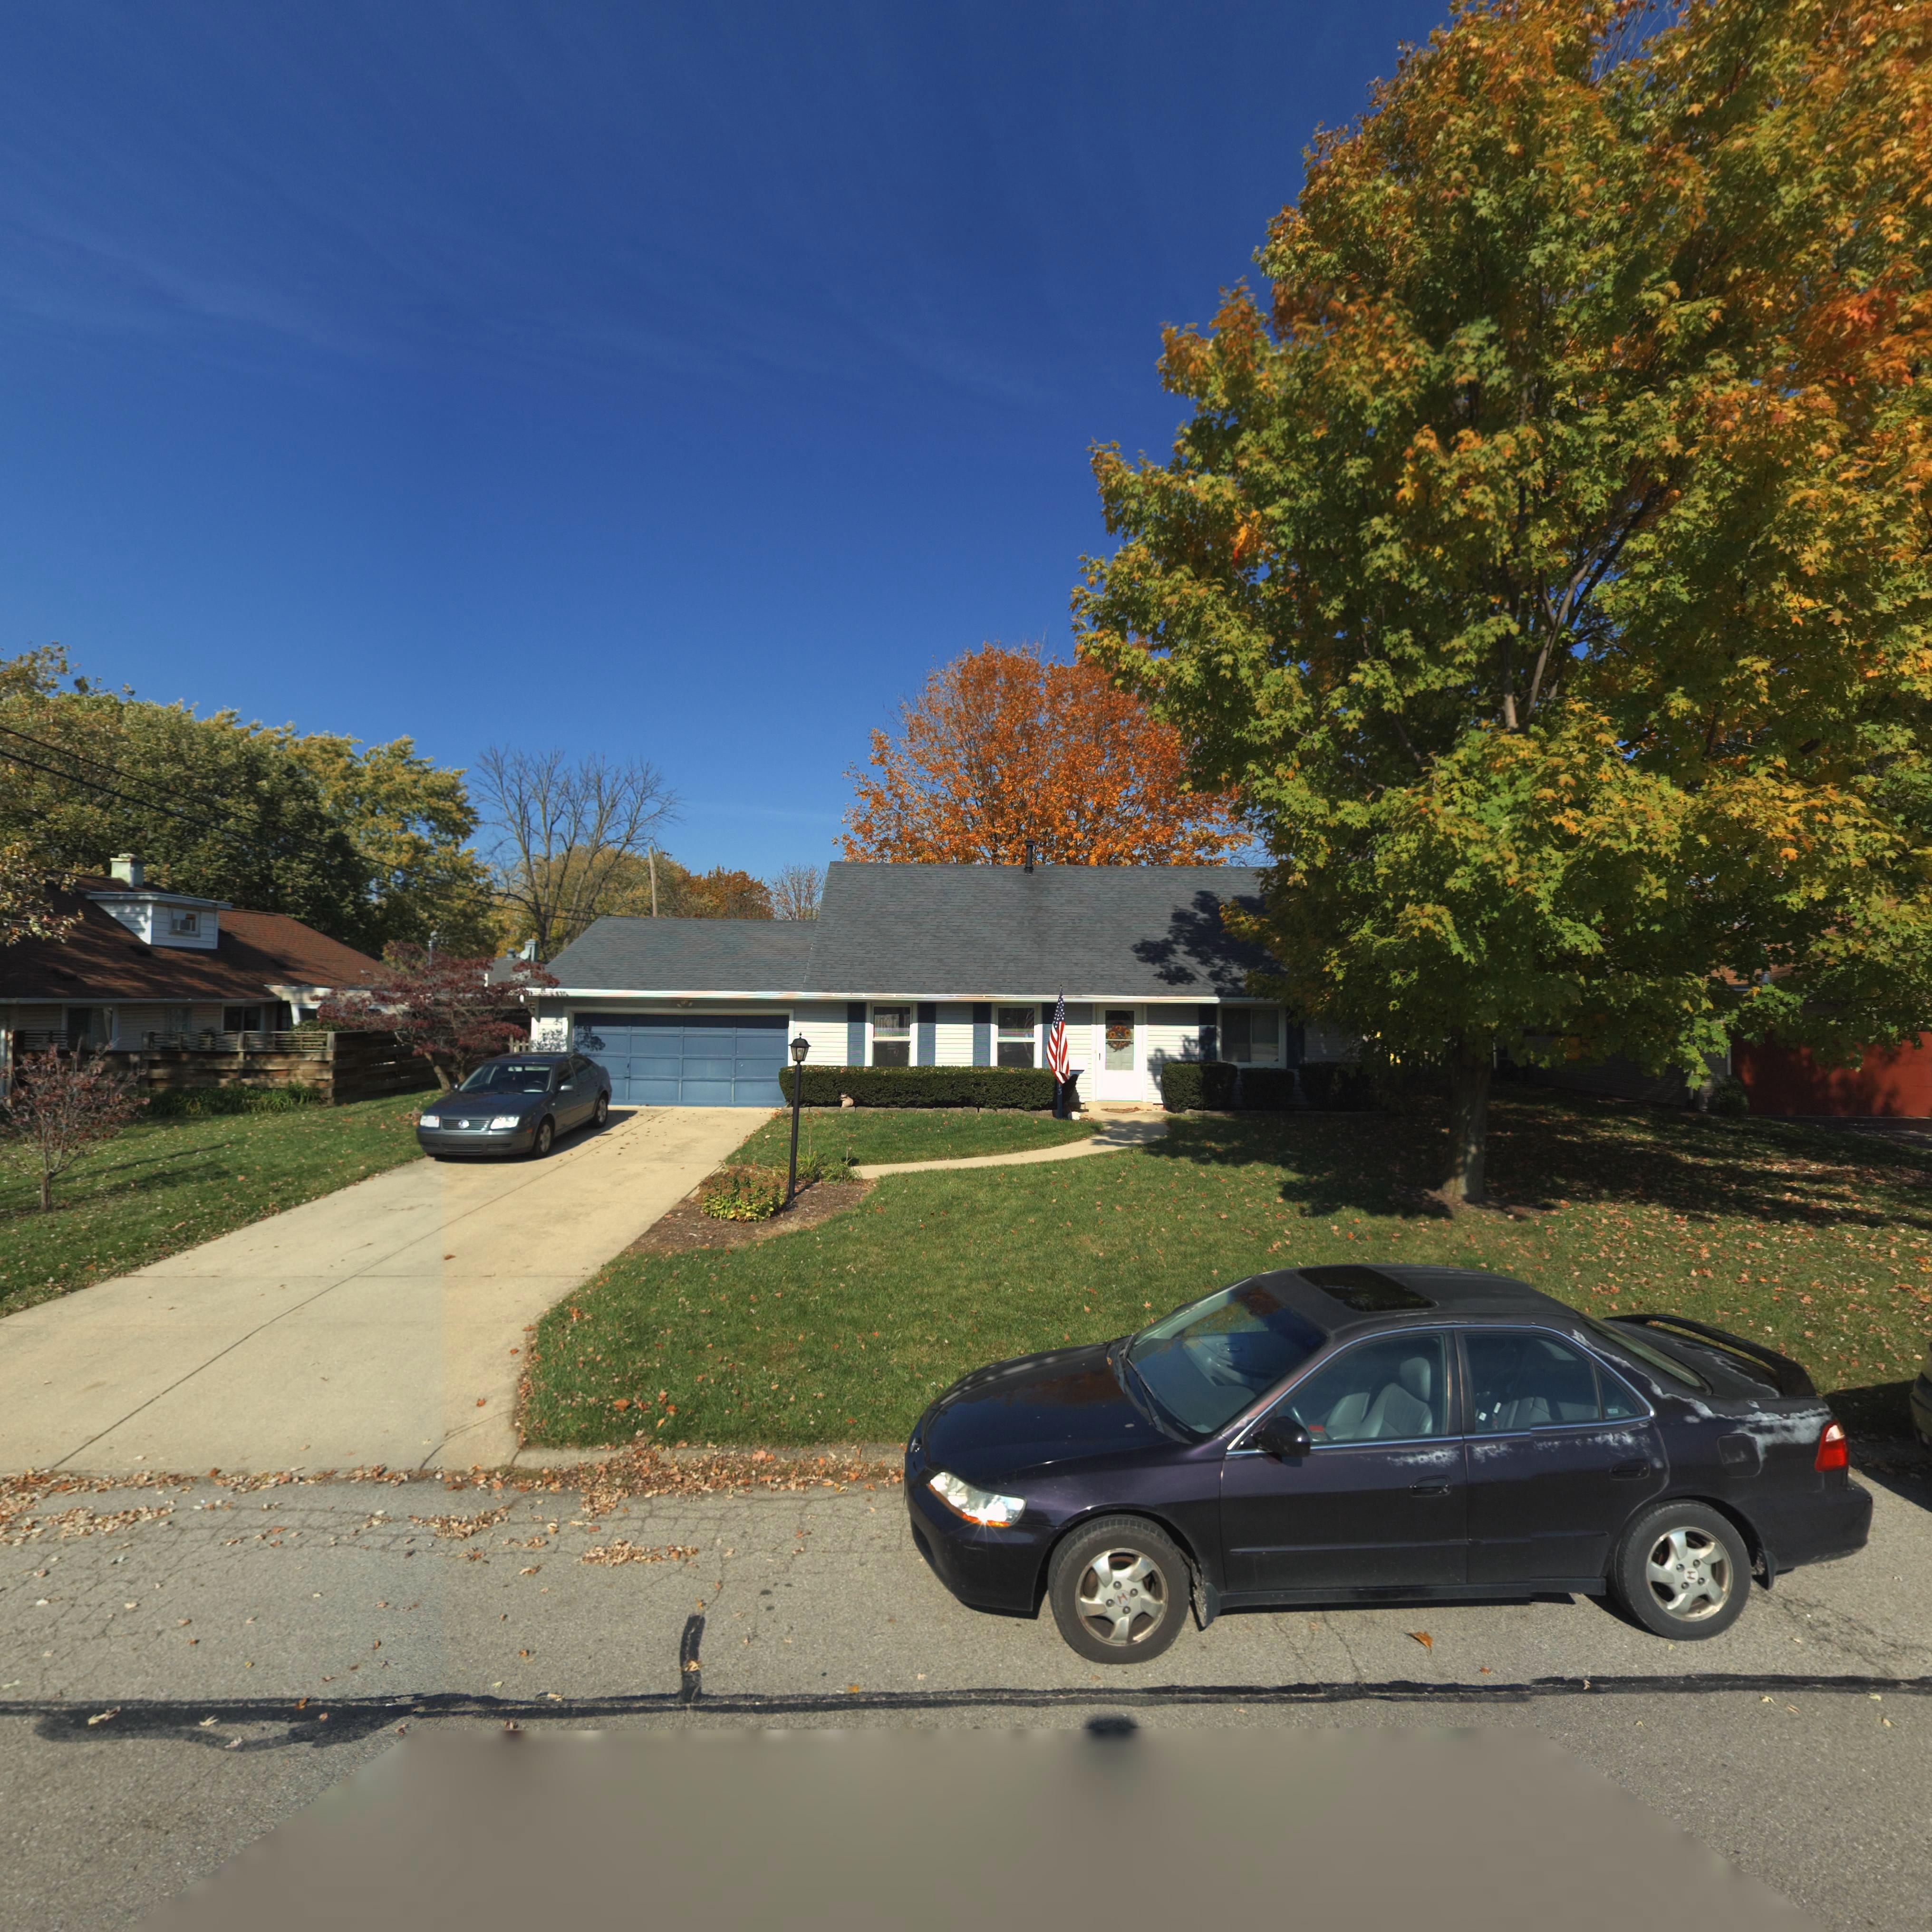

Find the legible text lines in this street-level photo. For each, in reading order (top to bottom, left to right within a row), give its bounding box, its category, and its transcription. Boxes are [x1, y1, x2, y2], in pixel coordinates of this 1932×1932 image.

[1057, 1082, 1063, 1096] StreetNumber: 13